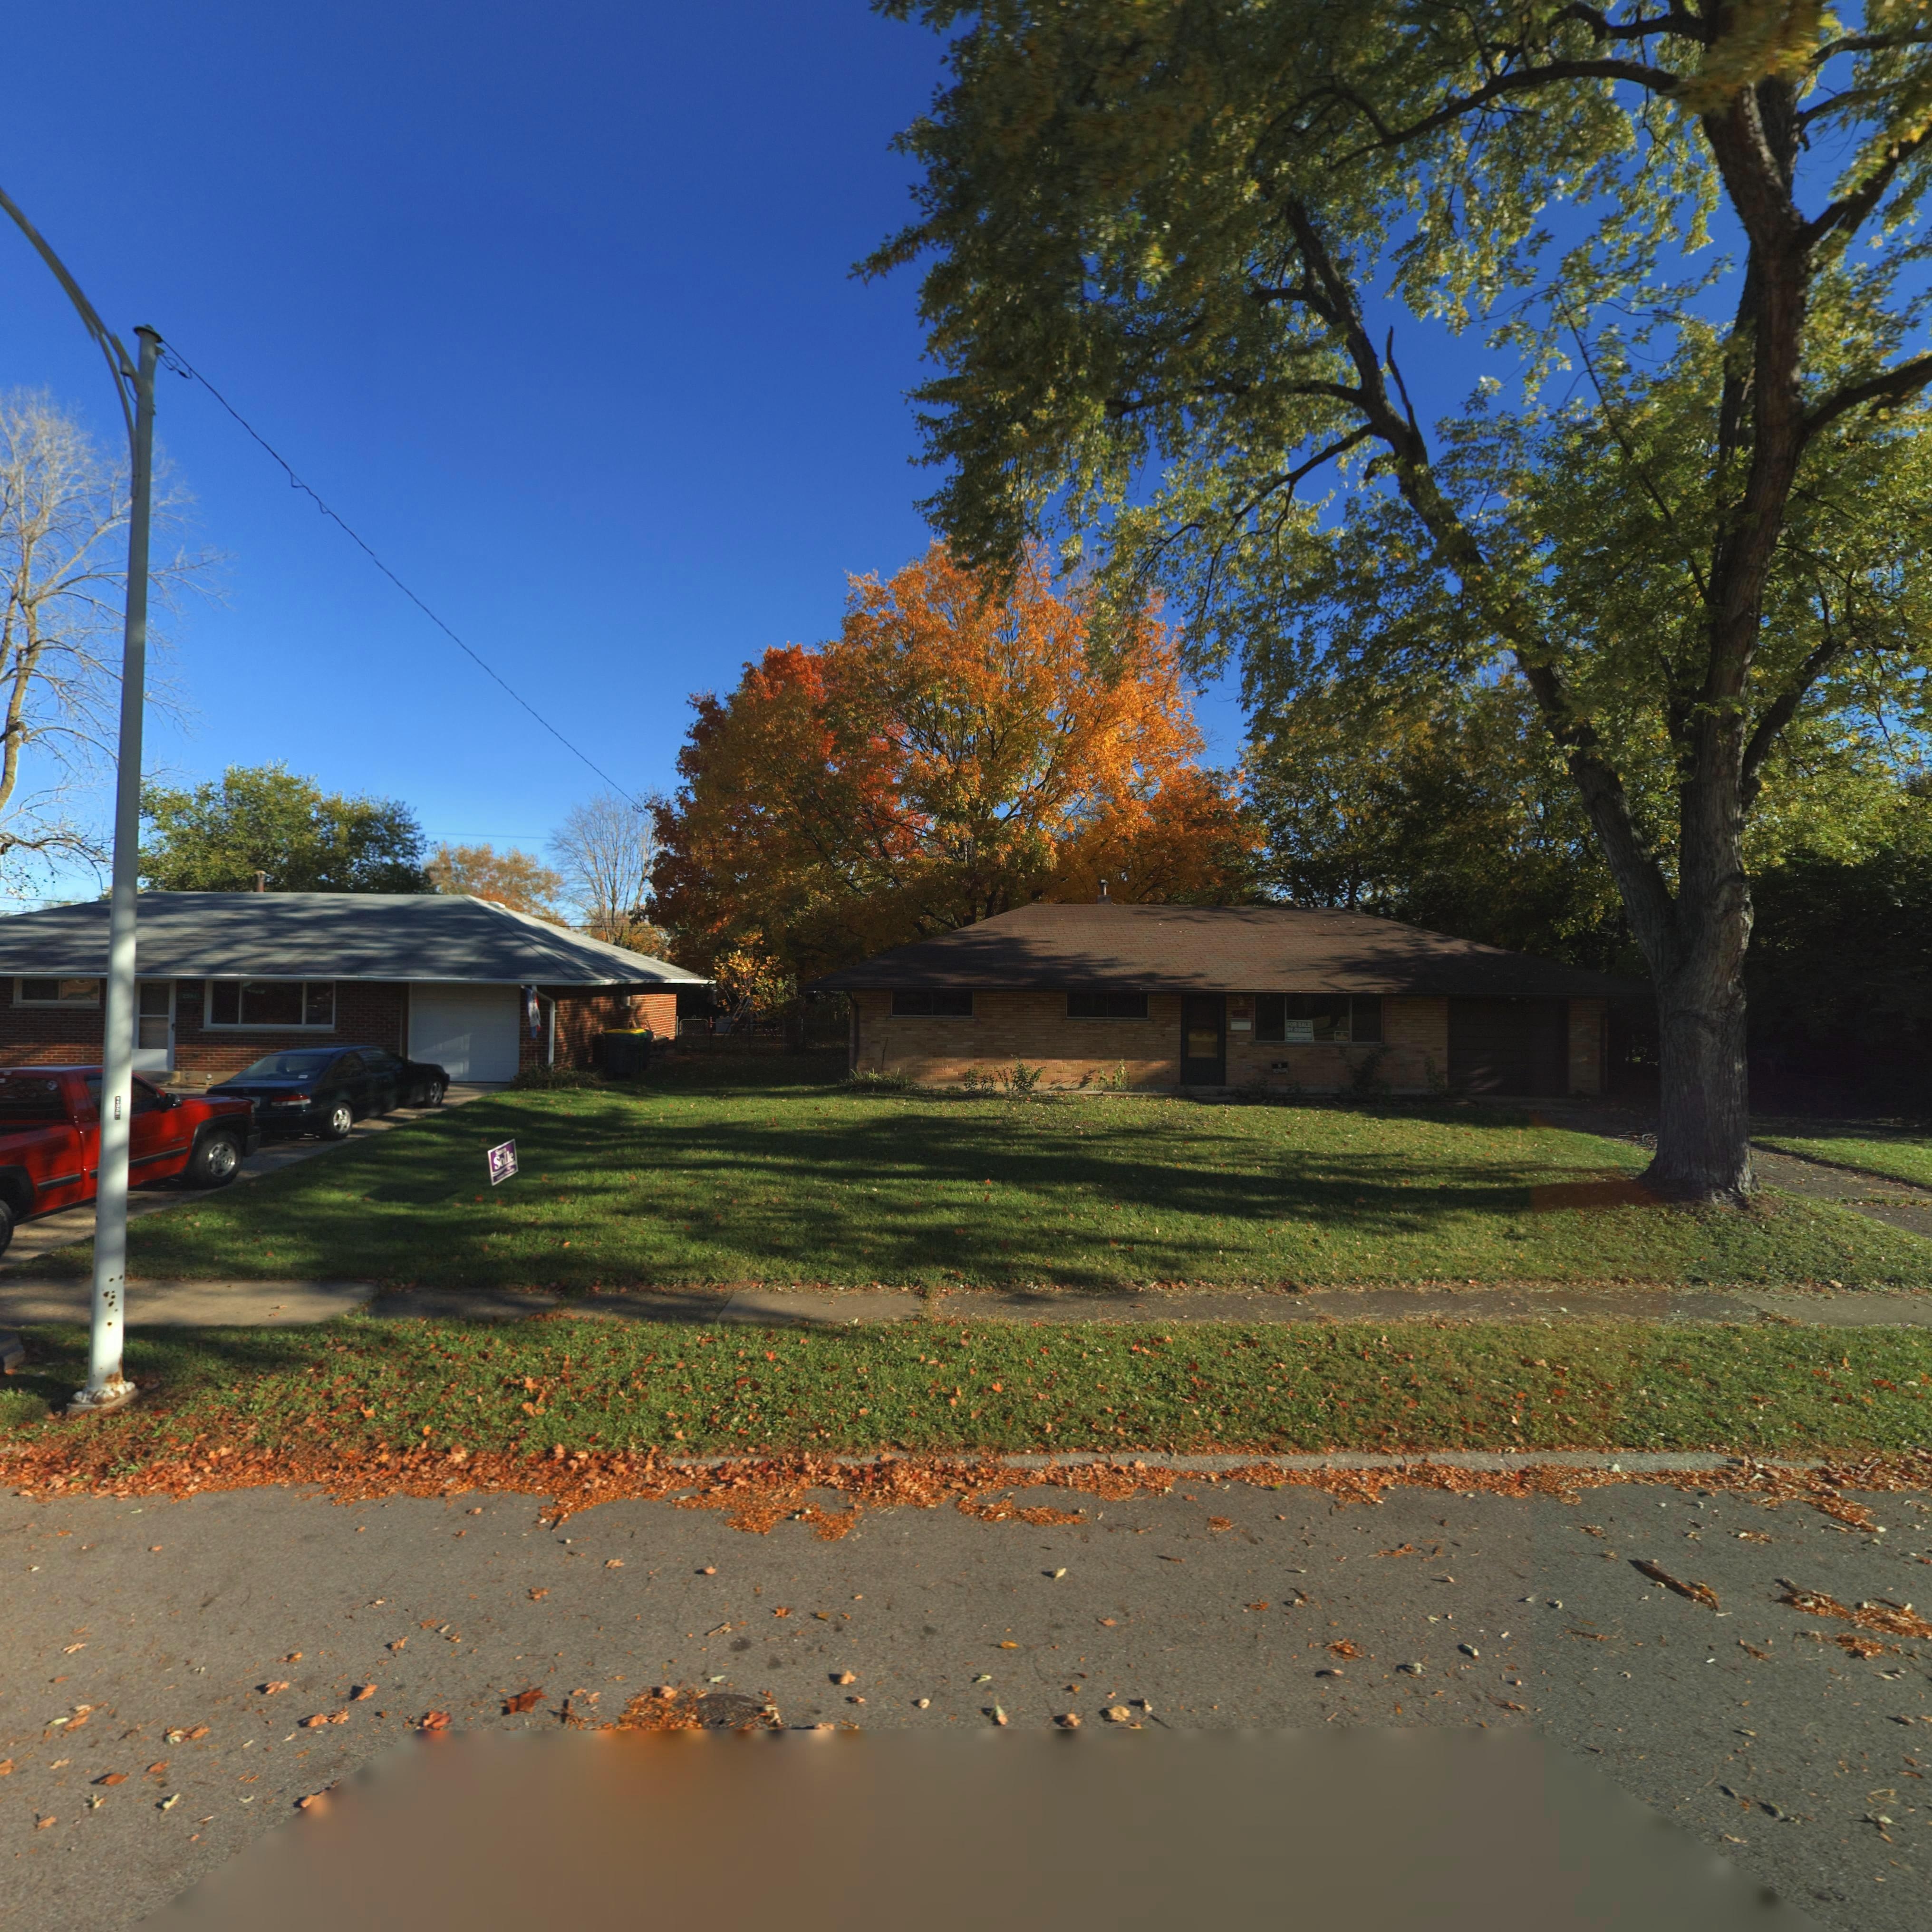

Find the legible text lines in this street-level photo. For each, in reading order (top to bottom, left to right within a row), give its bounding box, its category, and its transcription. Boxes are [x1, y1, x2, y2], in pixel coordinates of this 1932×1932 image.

[182, 993, 196, 998] StreetNumber: 2591